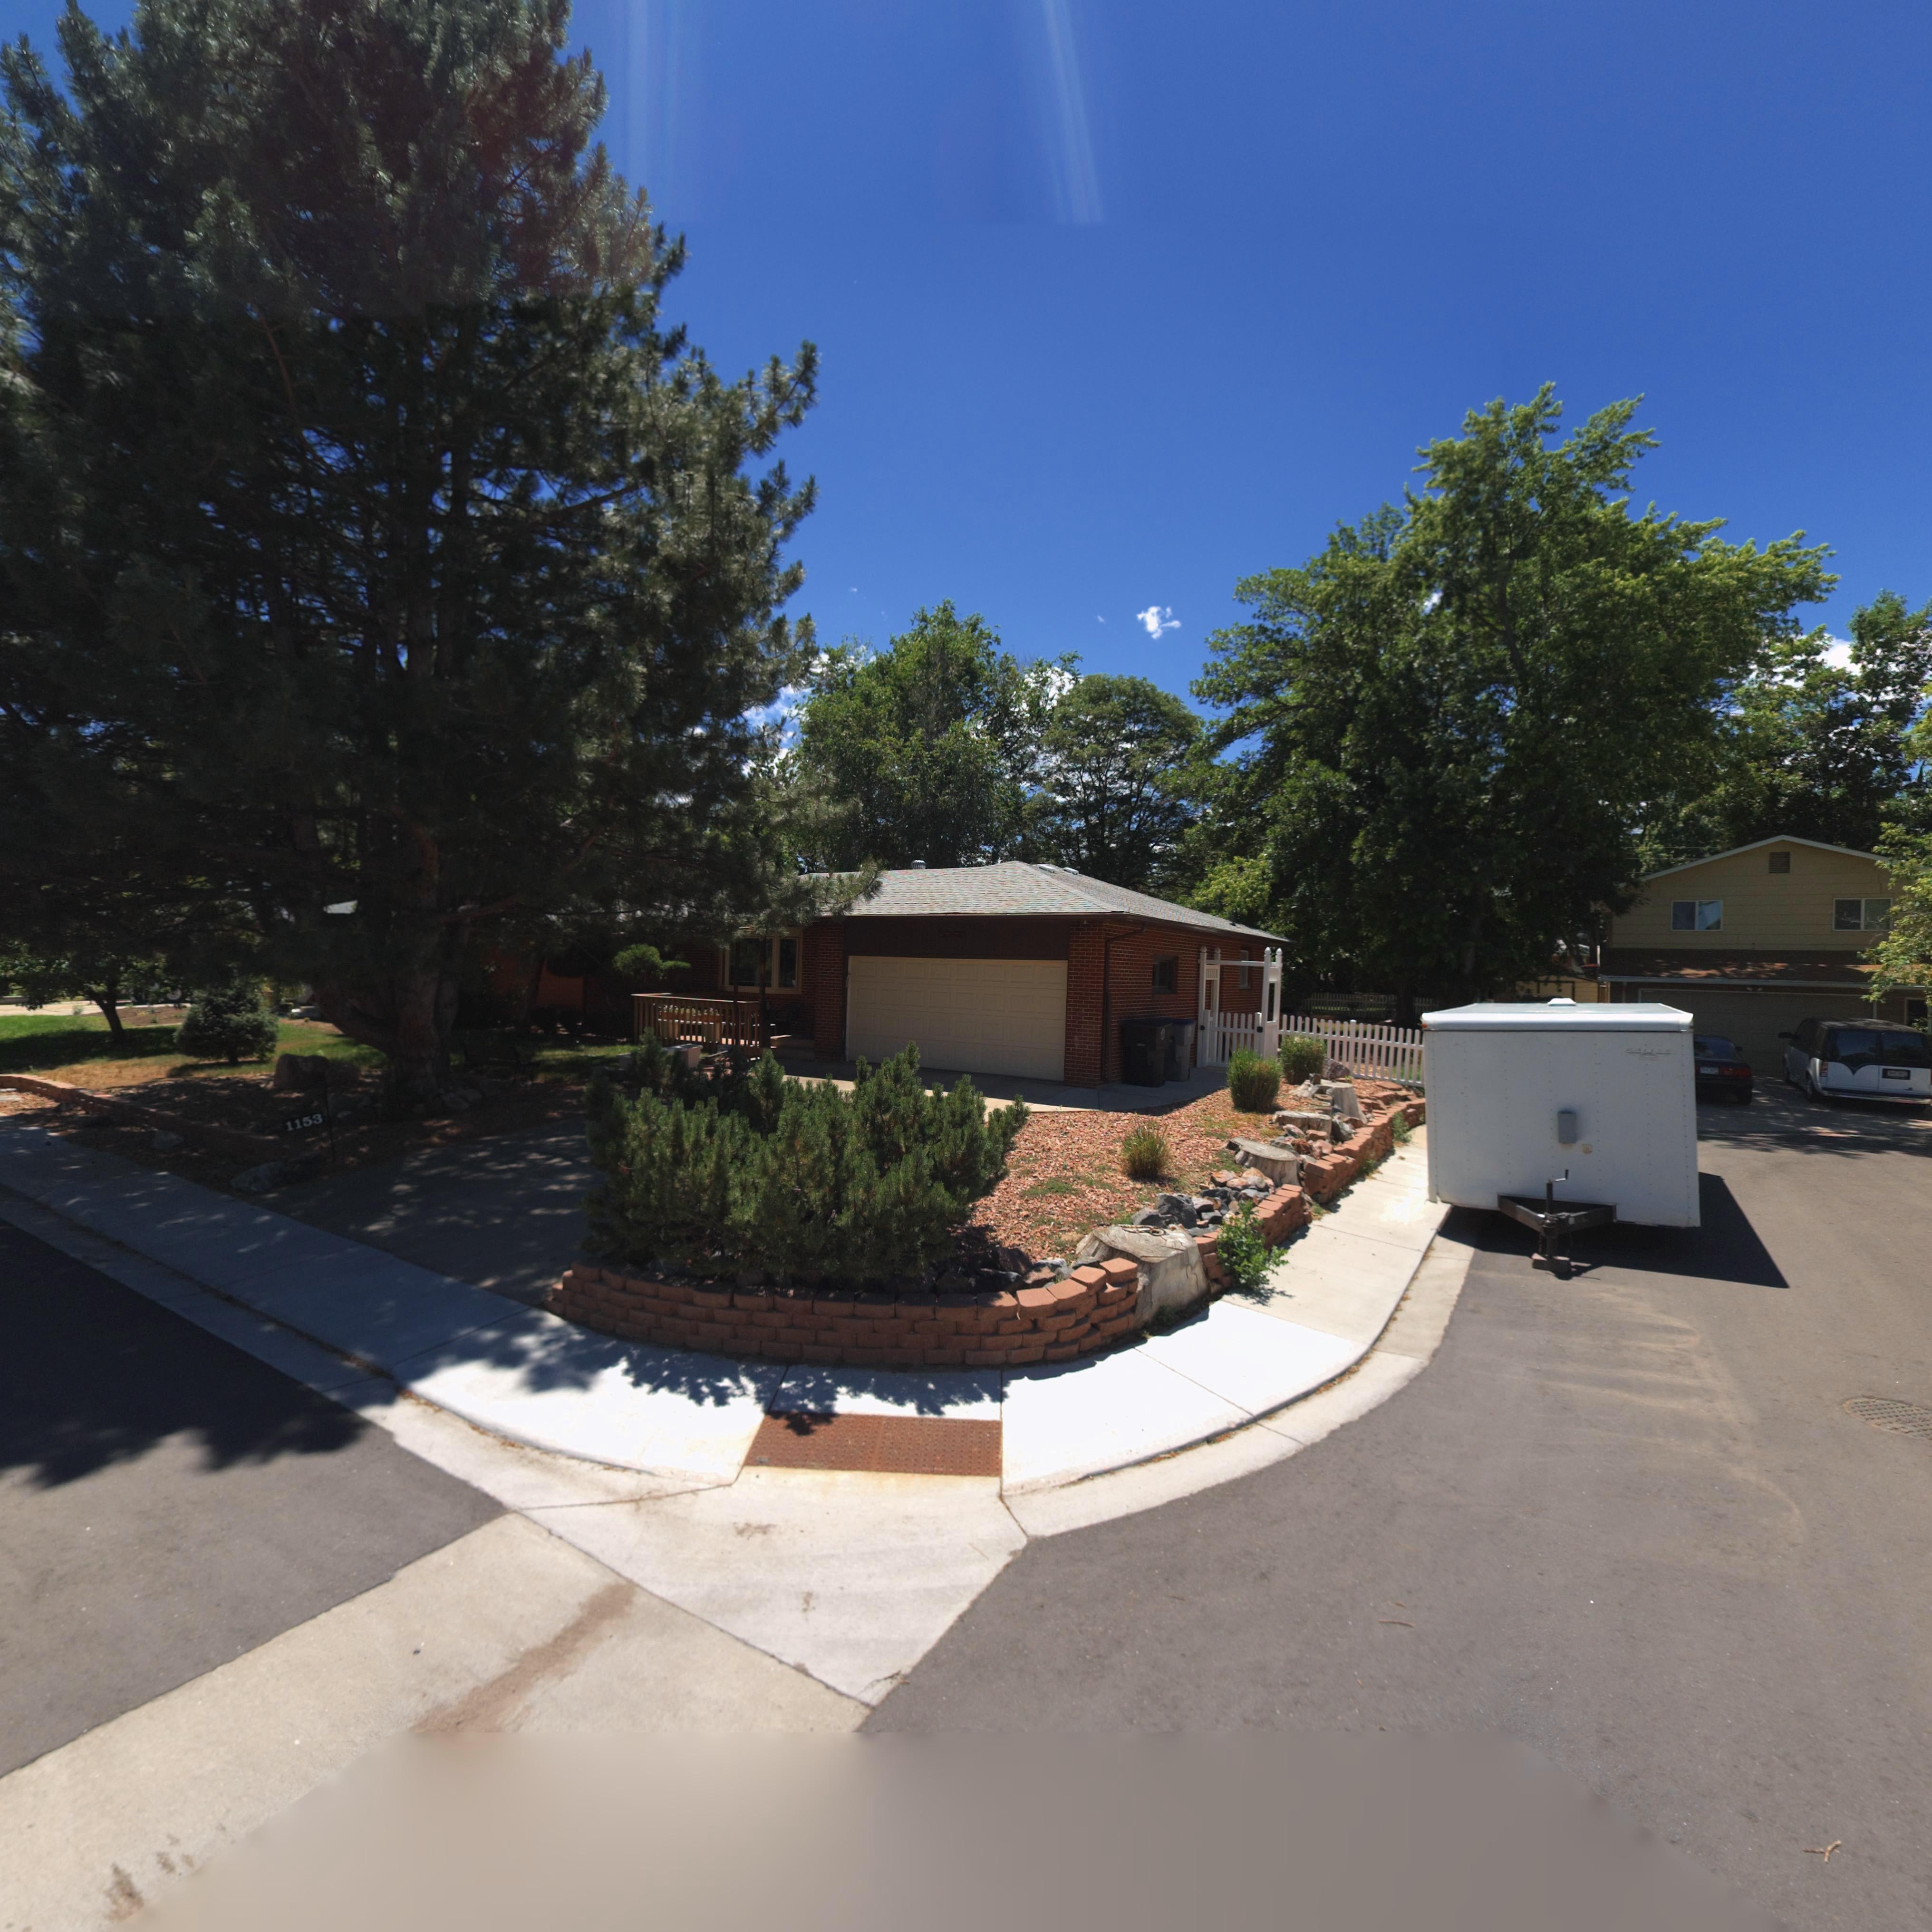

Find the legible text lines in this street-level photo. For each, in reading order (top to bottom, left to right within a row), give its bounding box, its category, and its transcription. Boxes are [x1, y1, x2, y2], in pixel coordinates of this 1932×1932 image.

[283, 1113, 325, 1130] StreetNumber: 1153